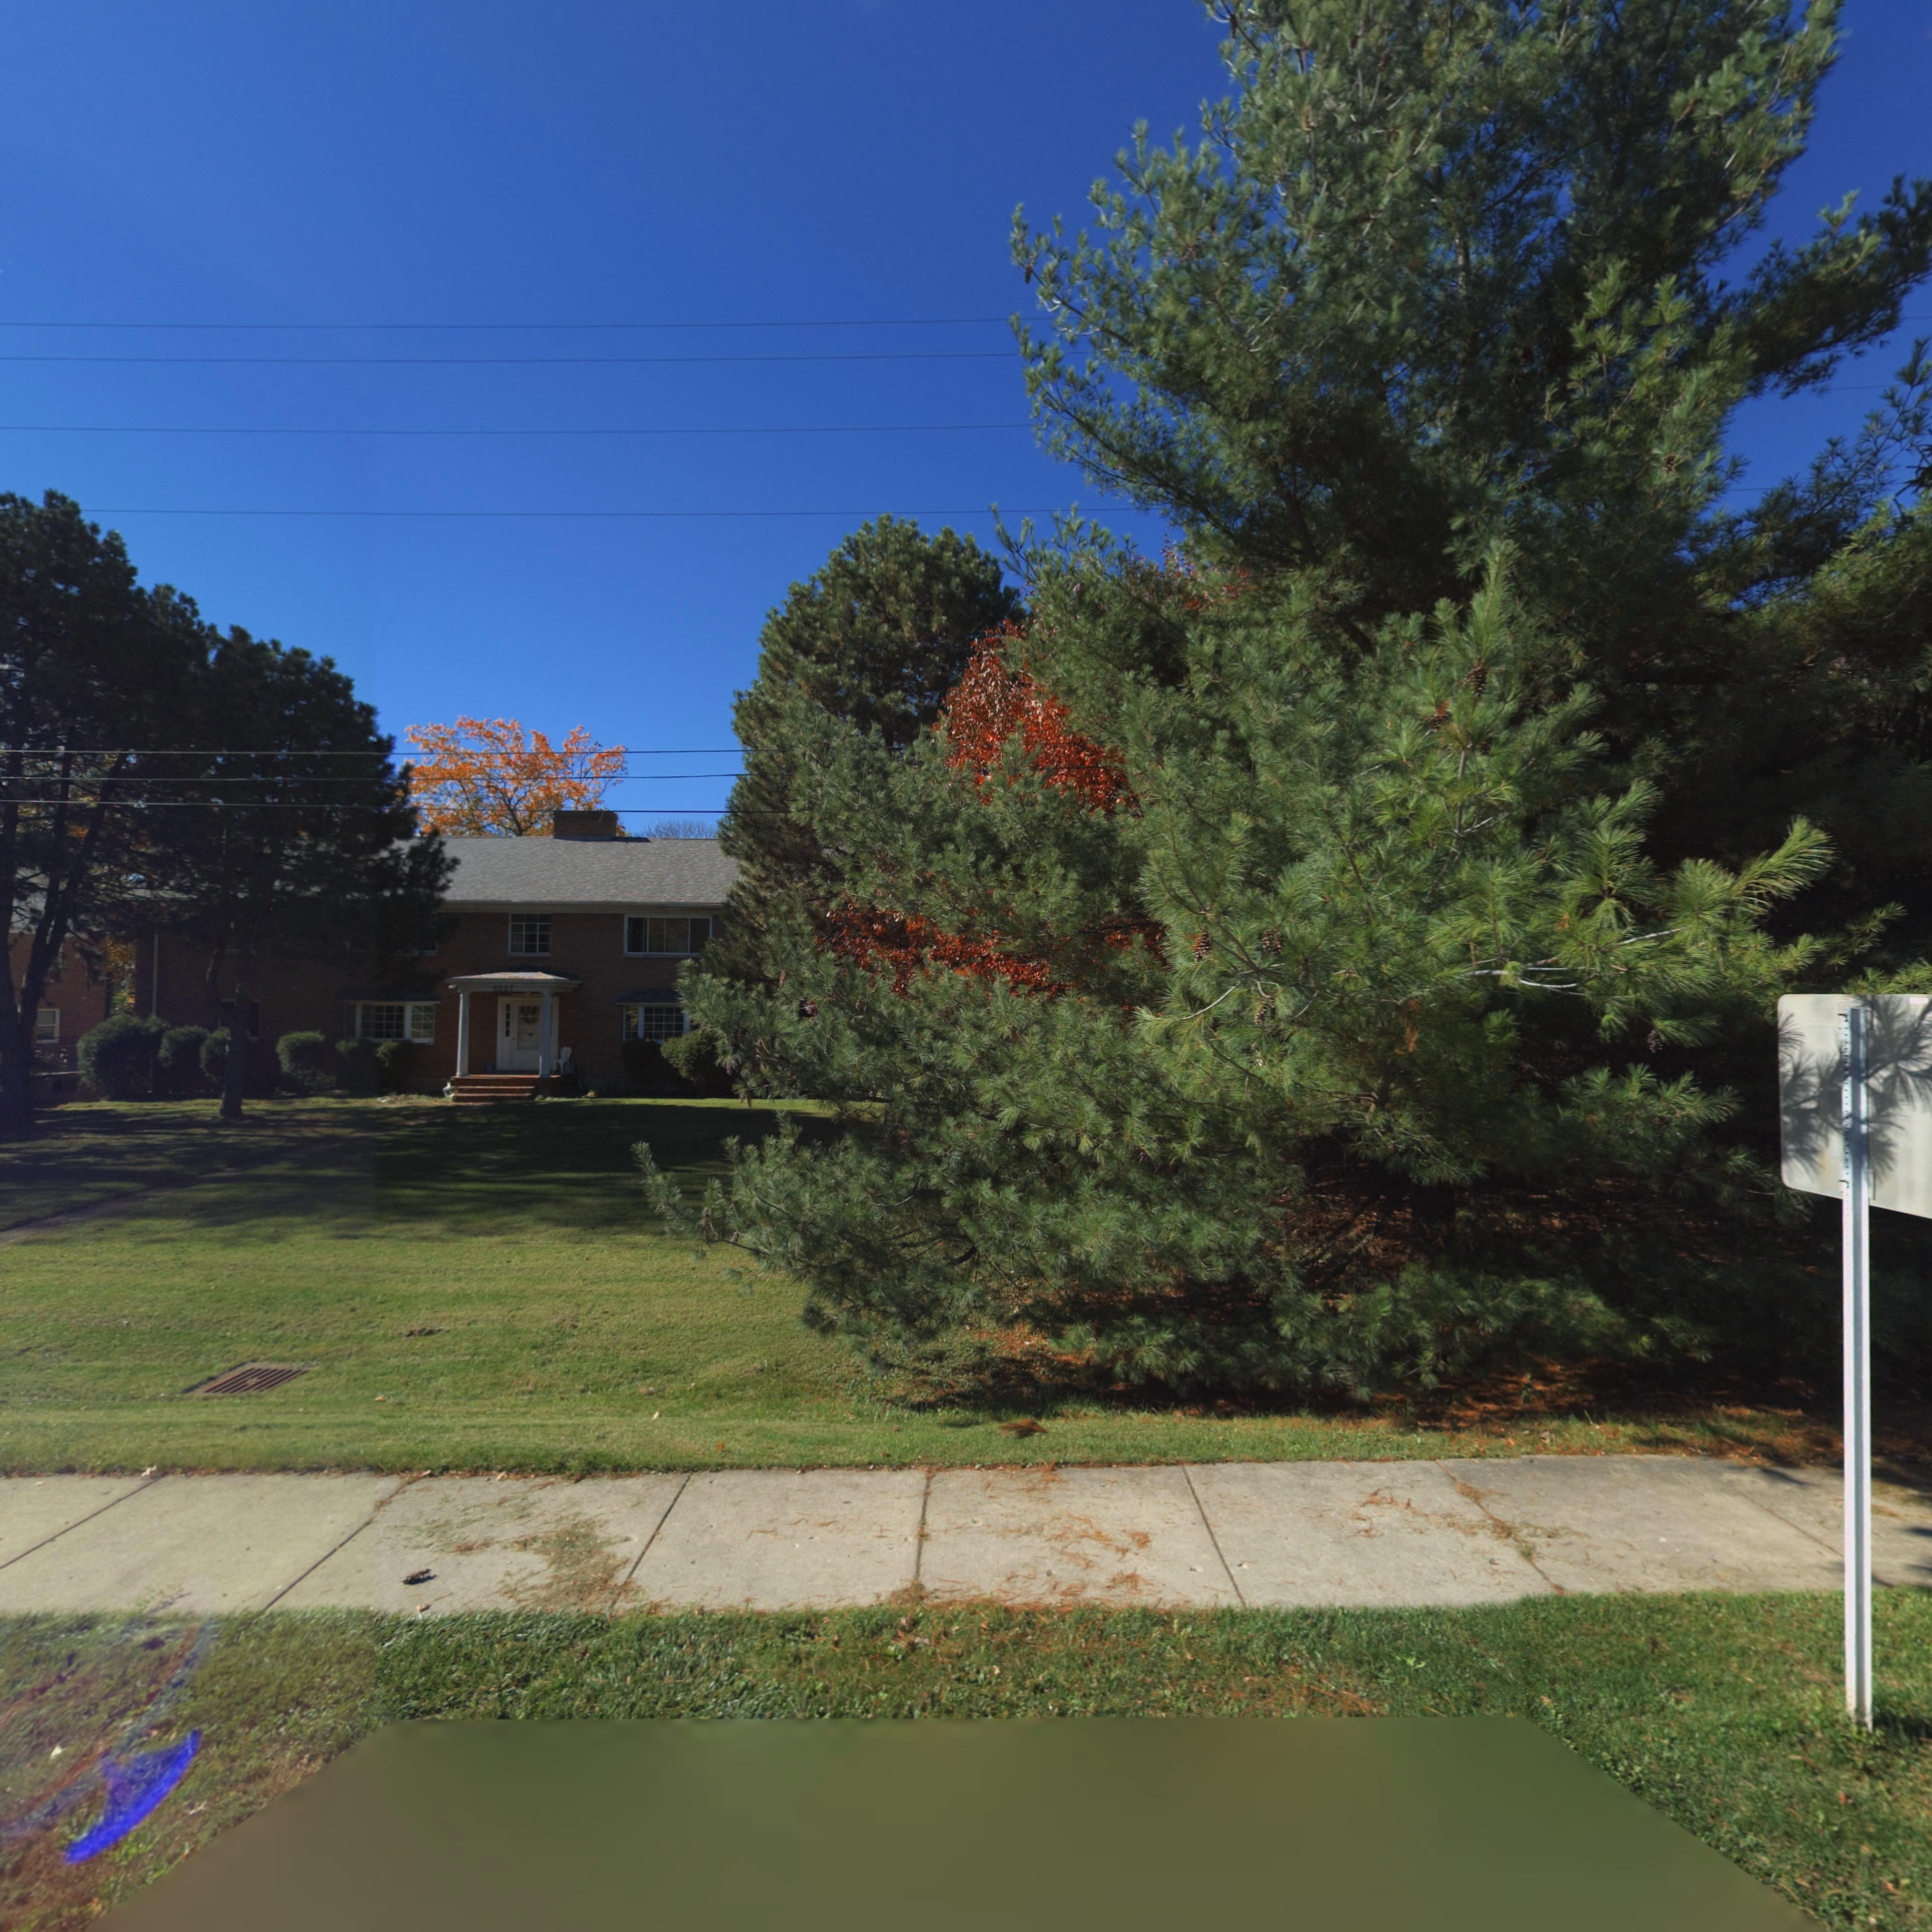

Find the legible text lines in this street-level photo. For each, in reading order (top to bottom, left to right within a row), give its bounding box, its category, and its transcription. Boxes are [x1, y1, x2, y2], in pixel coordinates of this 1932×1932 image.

[492, 985, 514, 992] StreetNumber: 5027